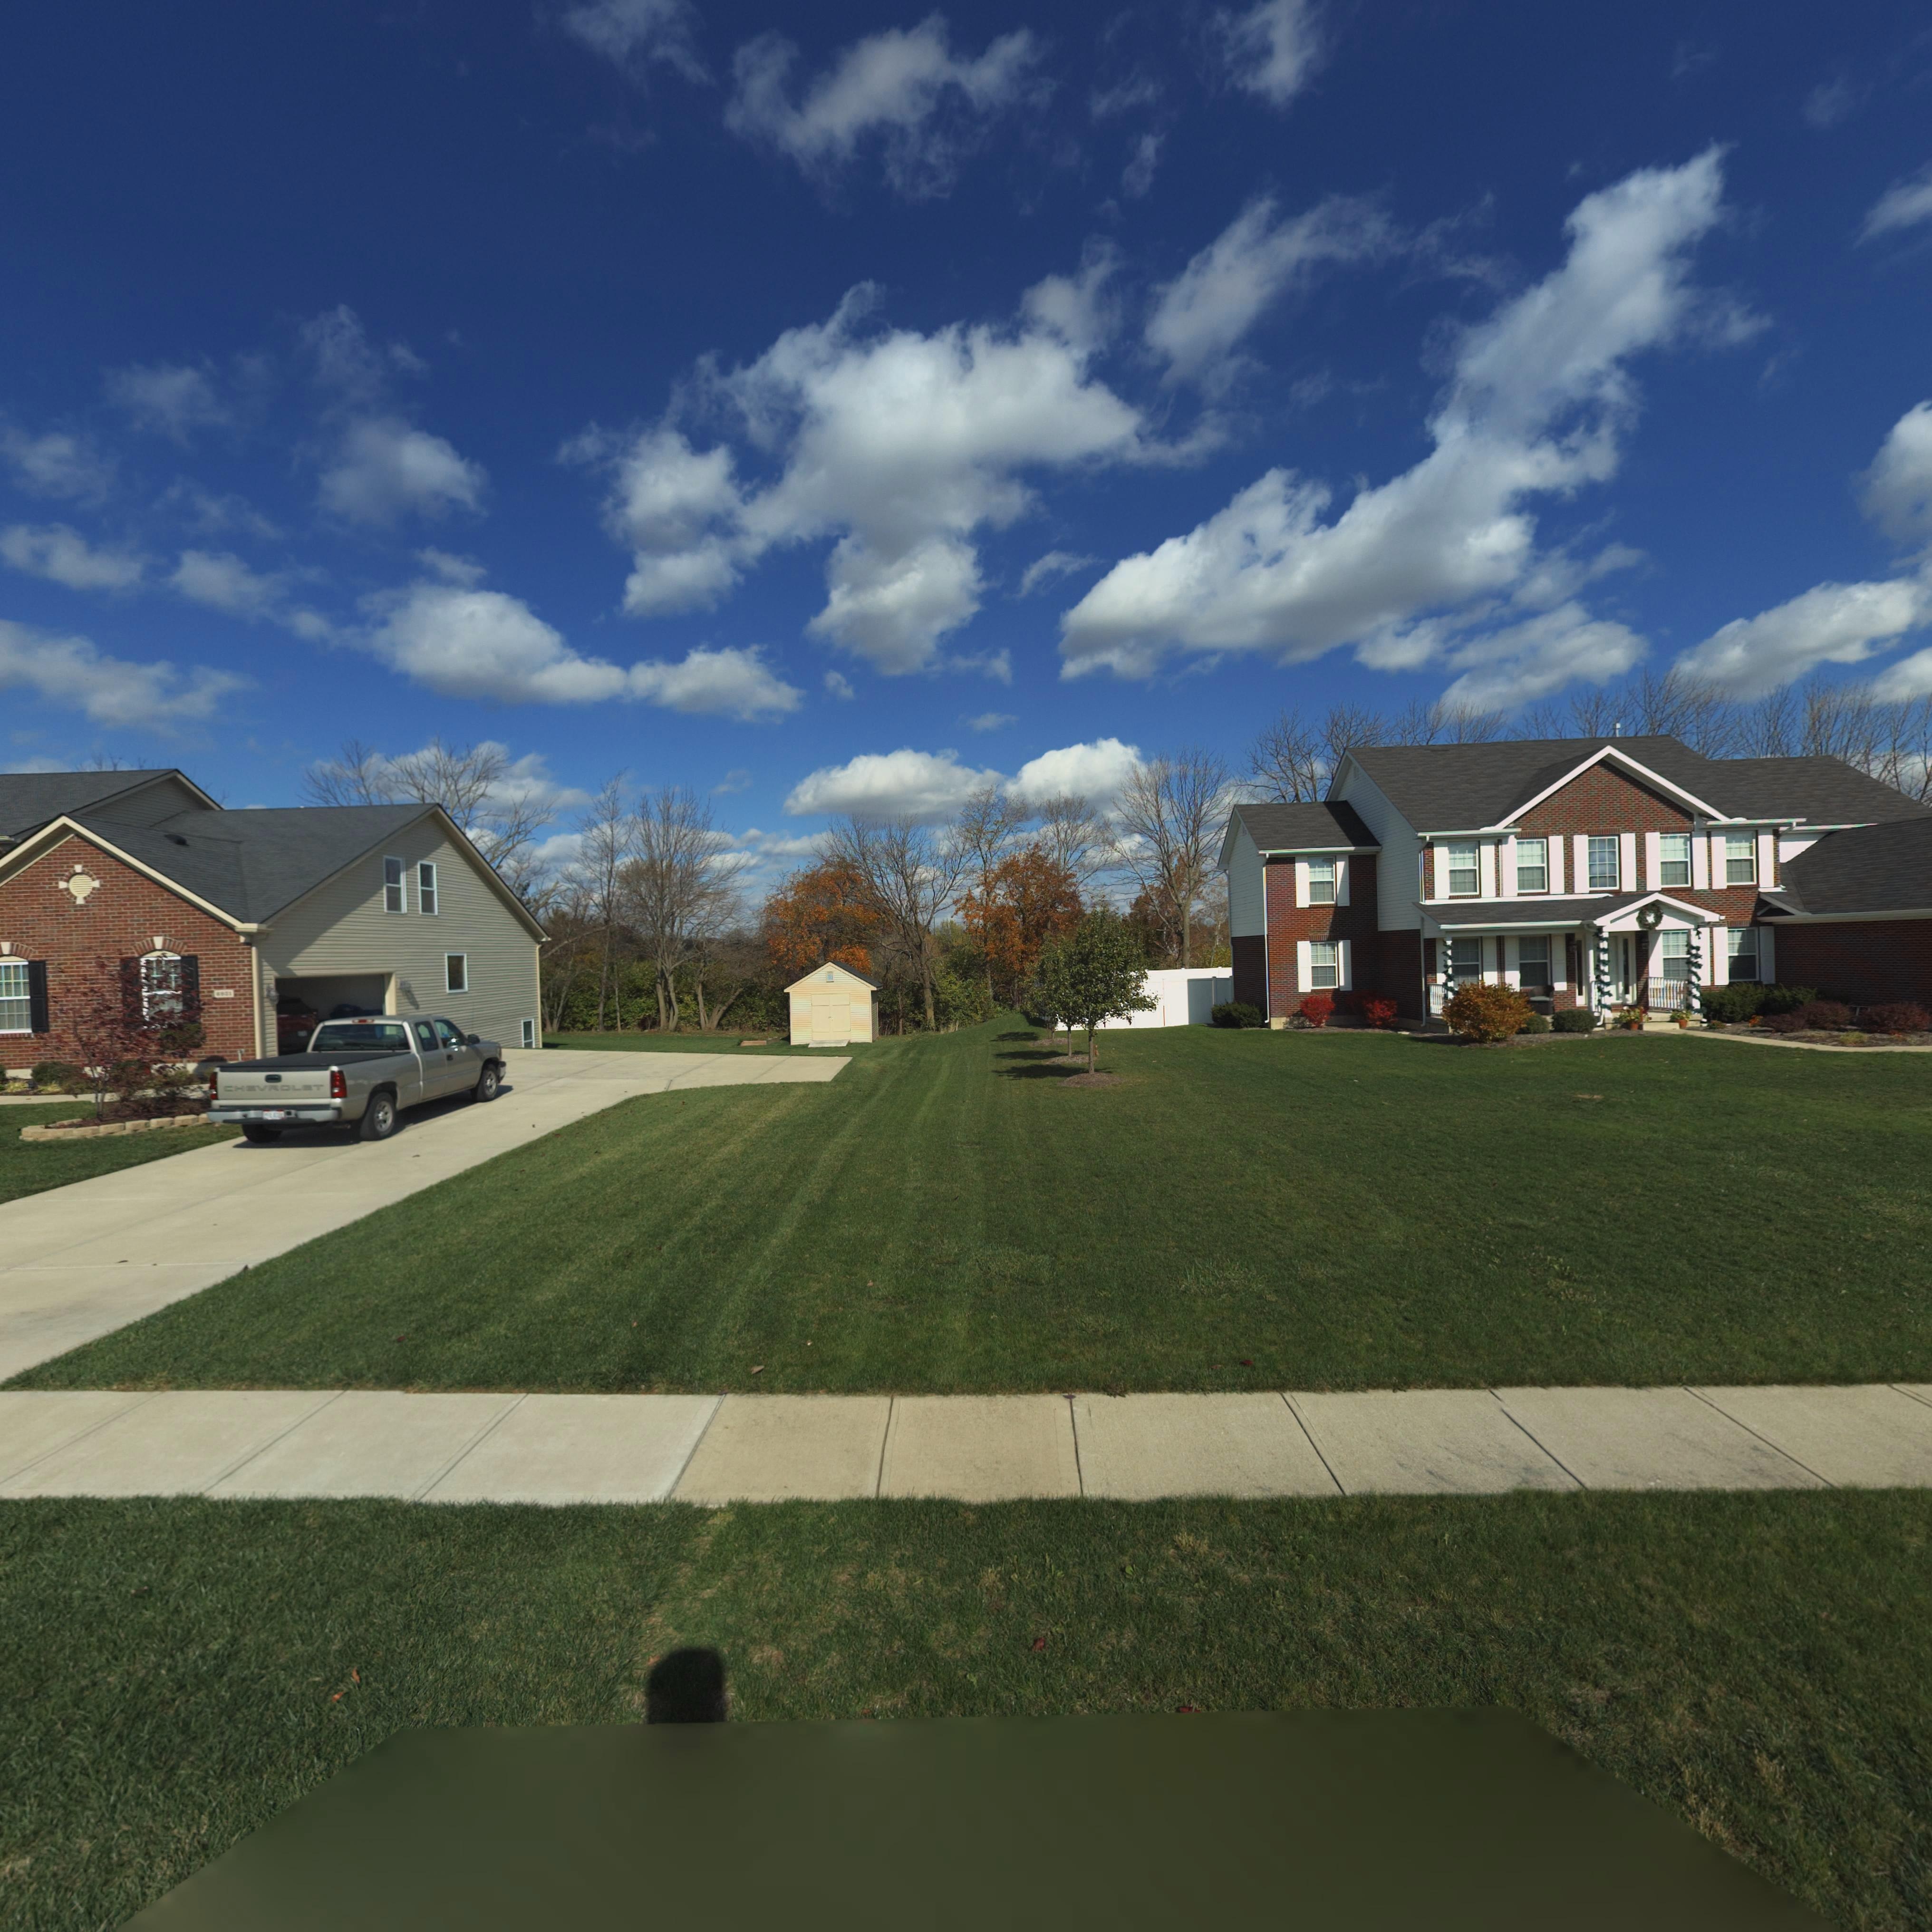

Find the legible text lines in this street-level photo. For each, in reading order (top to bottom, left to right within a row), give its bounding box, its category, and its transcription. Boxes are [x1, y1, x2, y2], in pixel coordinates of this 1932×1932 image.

[216, 991, 232, 997] StreetNumber: 6*31